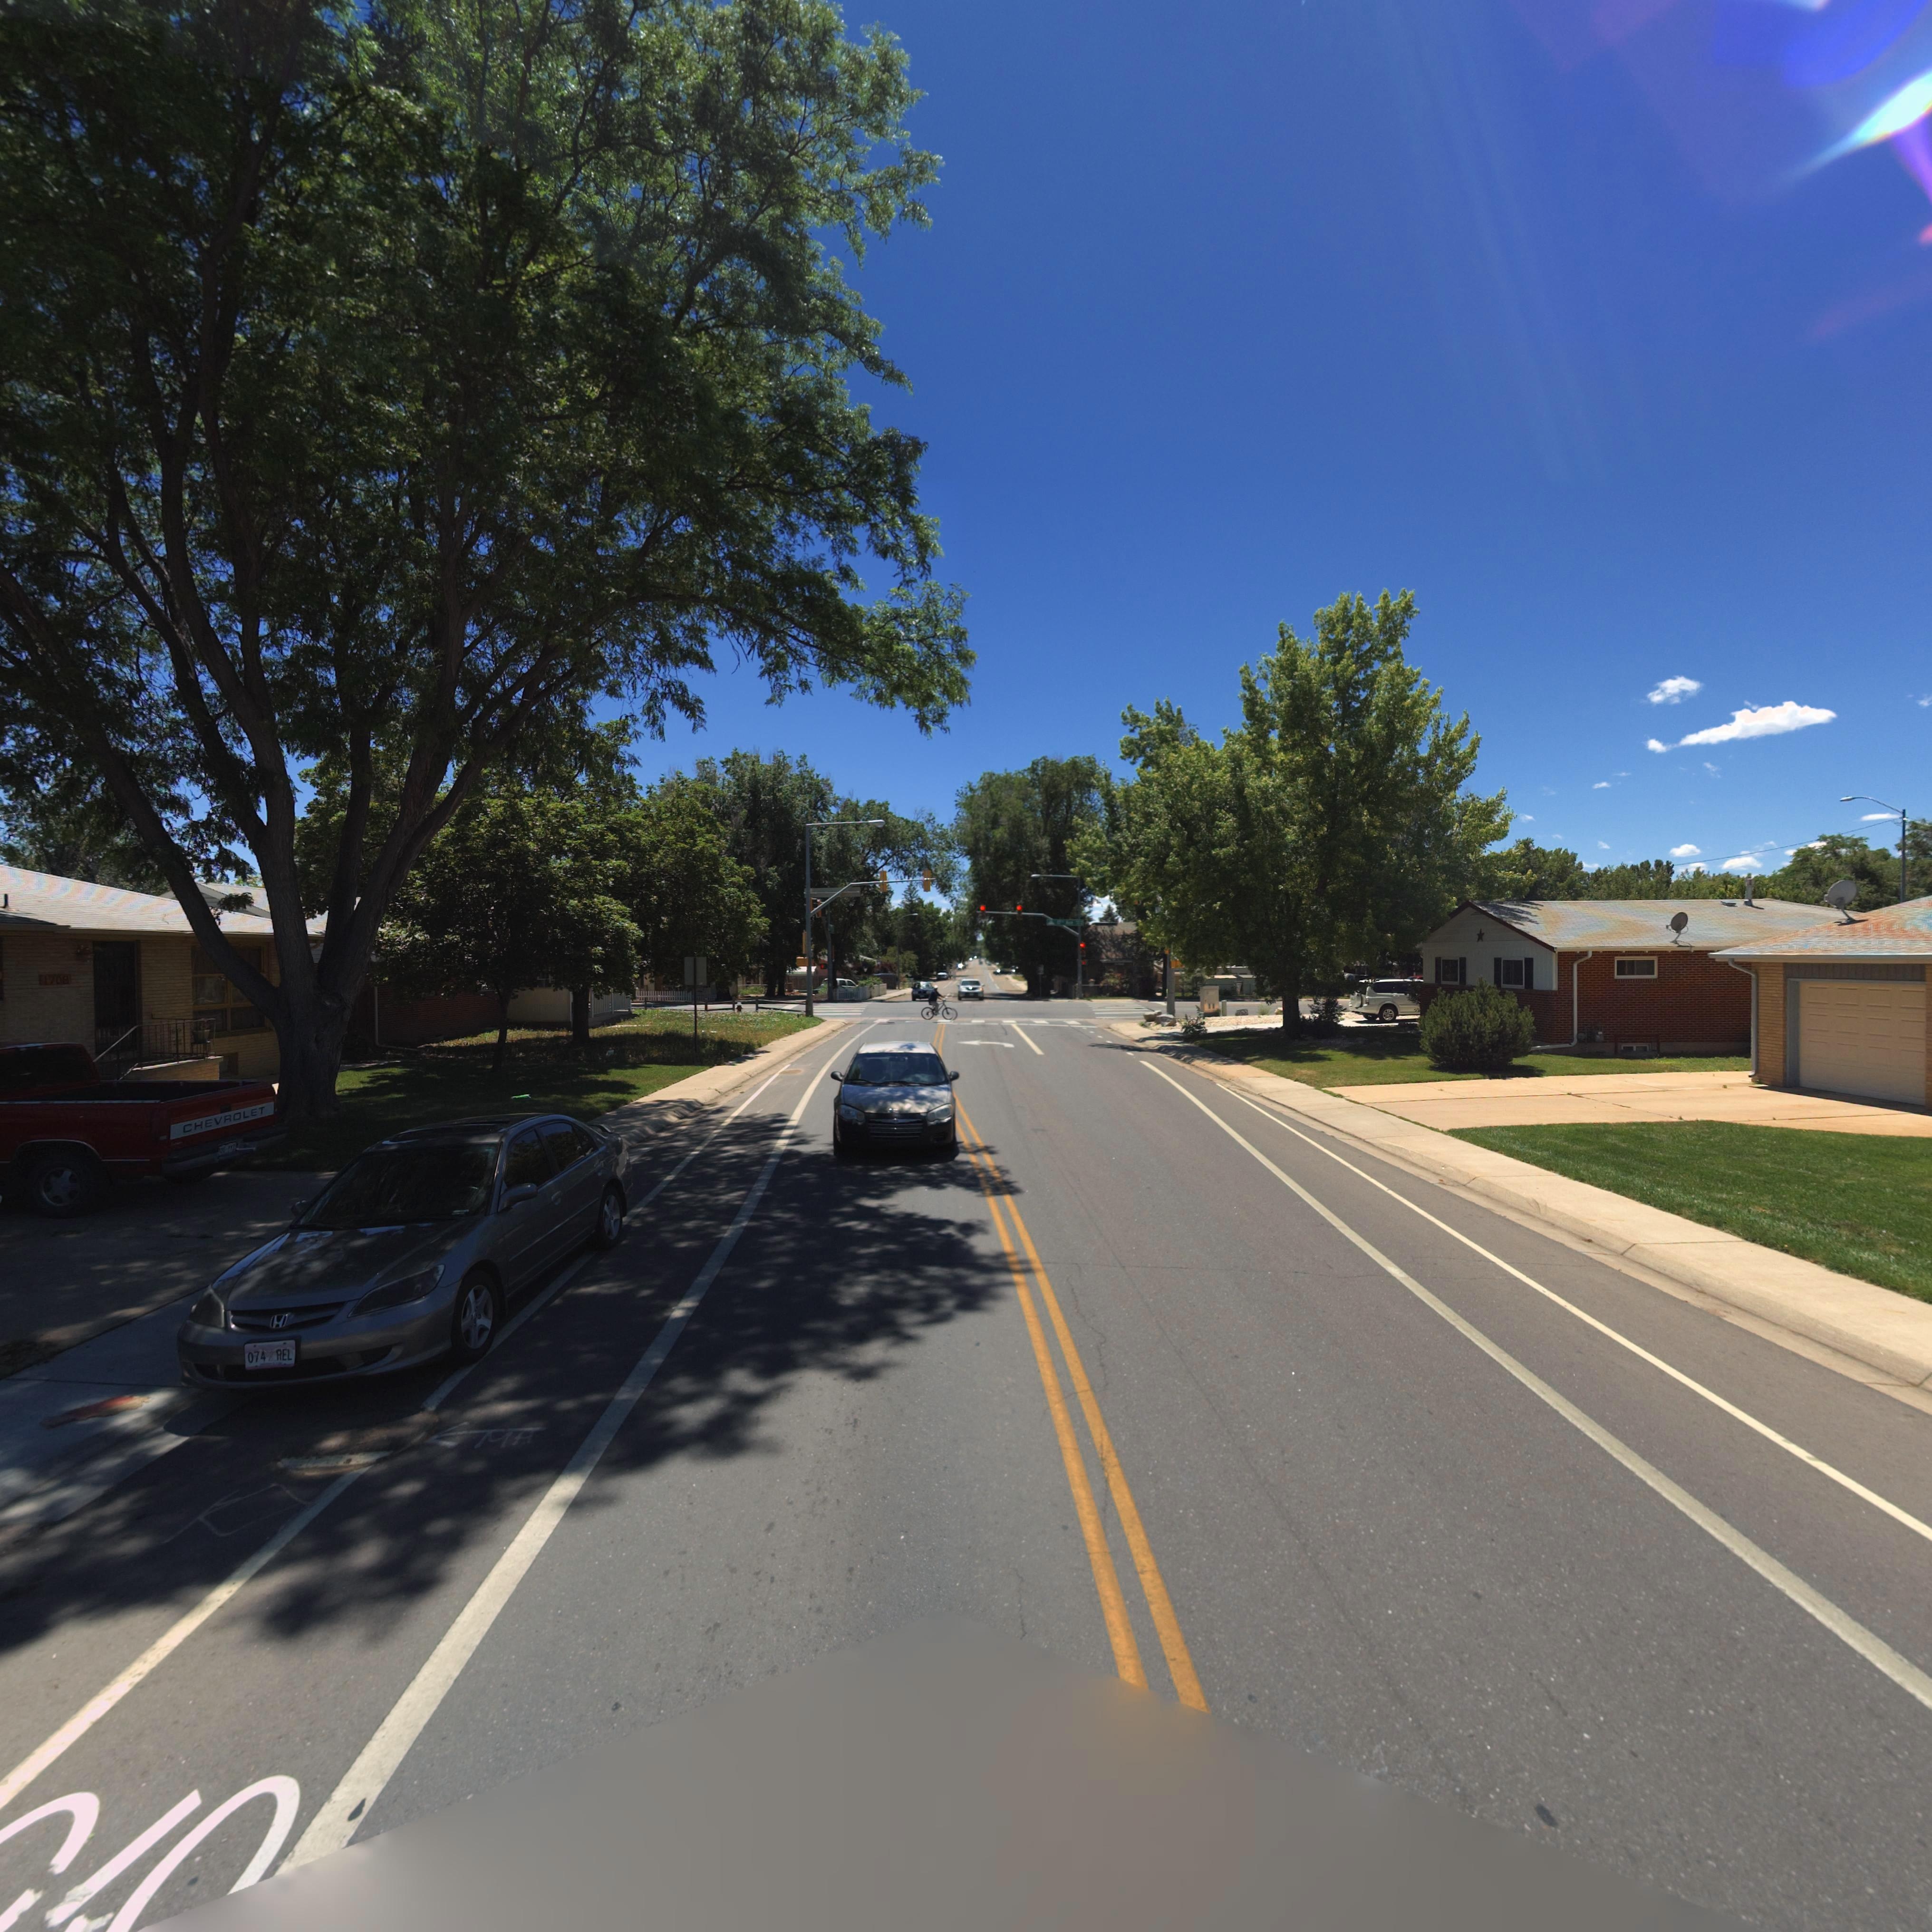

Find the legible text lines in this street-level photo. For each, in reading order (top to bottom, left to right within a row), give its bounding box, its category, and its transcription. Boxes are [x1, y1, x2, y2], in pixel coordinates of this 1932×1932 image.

[43, 975, 69, 985] StreetNumber: 1708